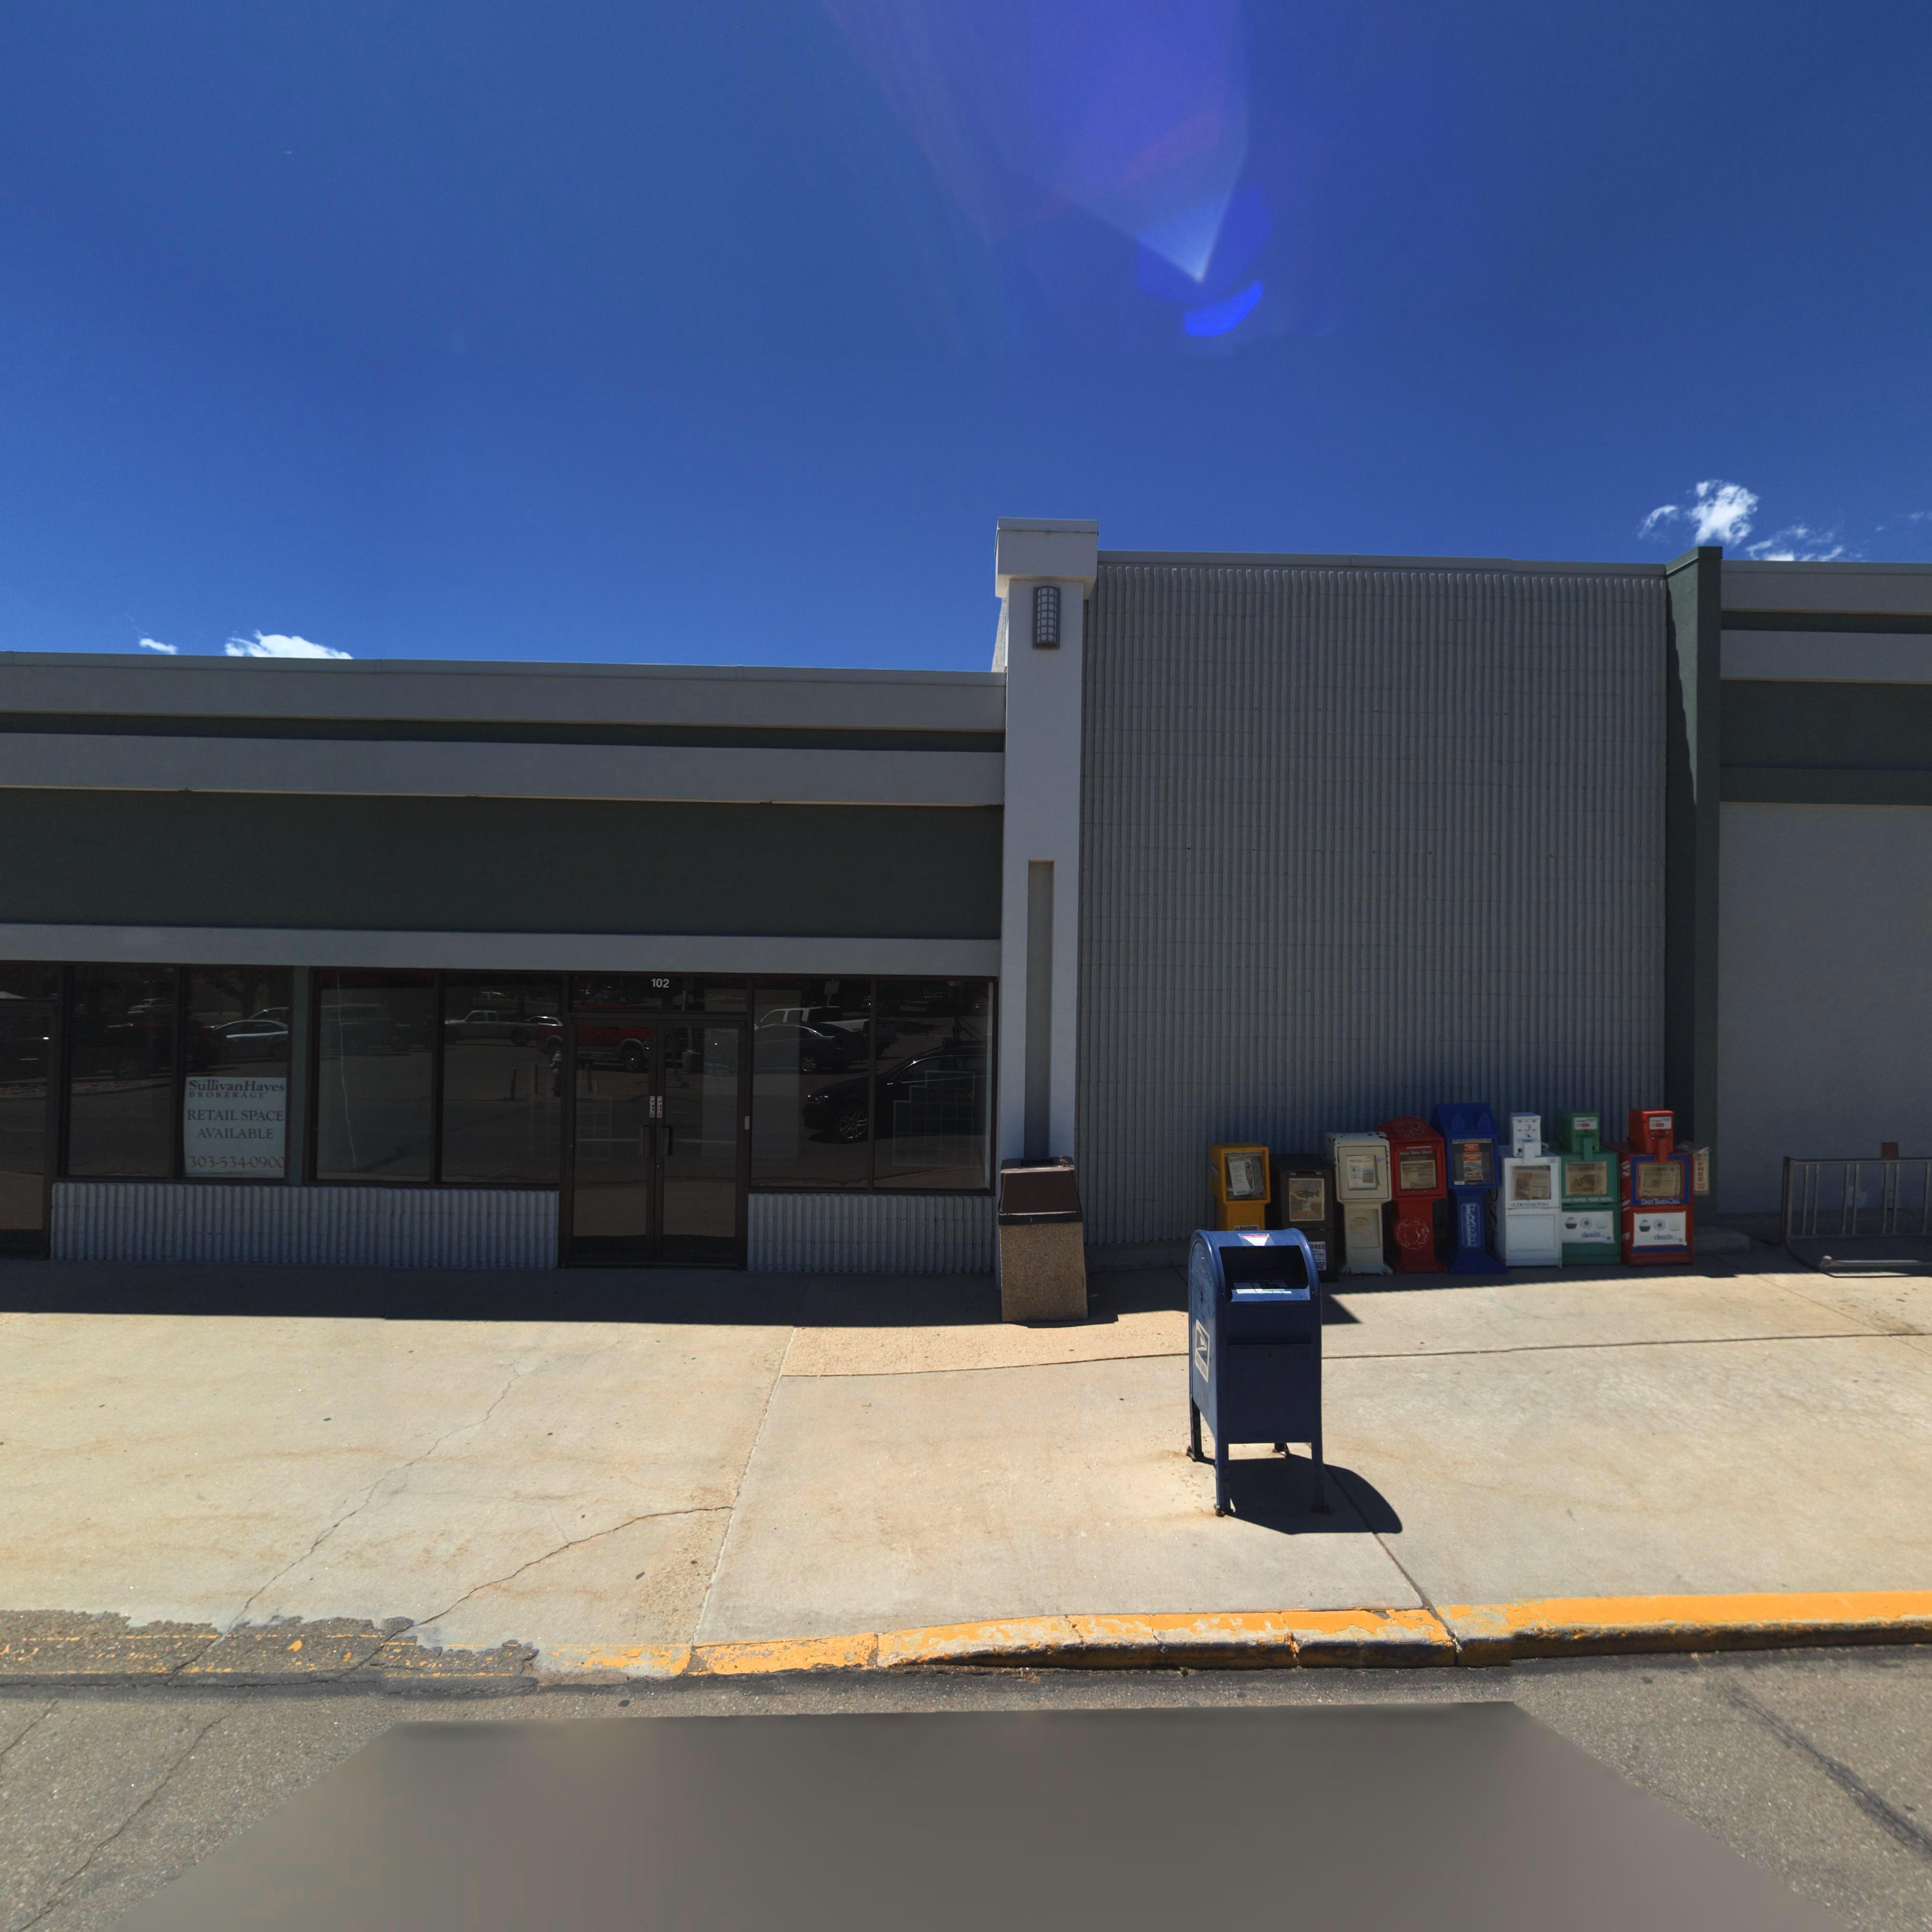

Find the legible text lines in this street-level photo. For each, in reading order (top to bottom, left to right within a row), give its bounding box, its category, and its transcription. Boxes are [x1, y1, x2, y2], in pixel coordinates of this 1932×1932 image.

[651, 978, 670, 988] StreetNumber: 102